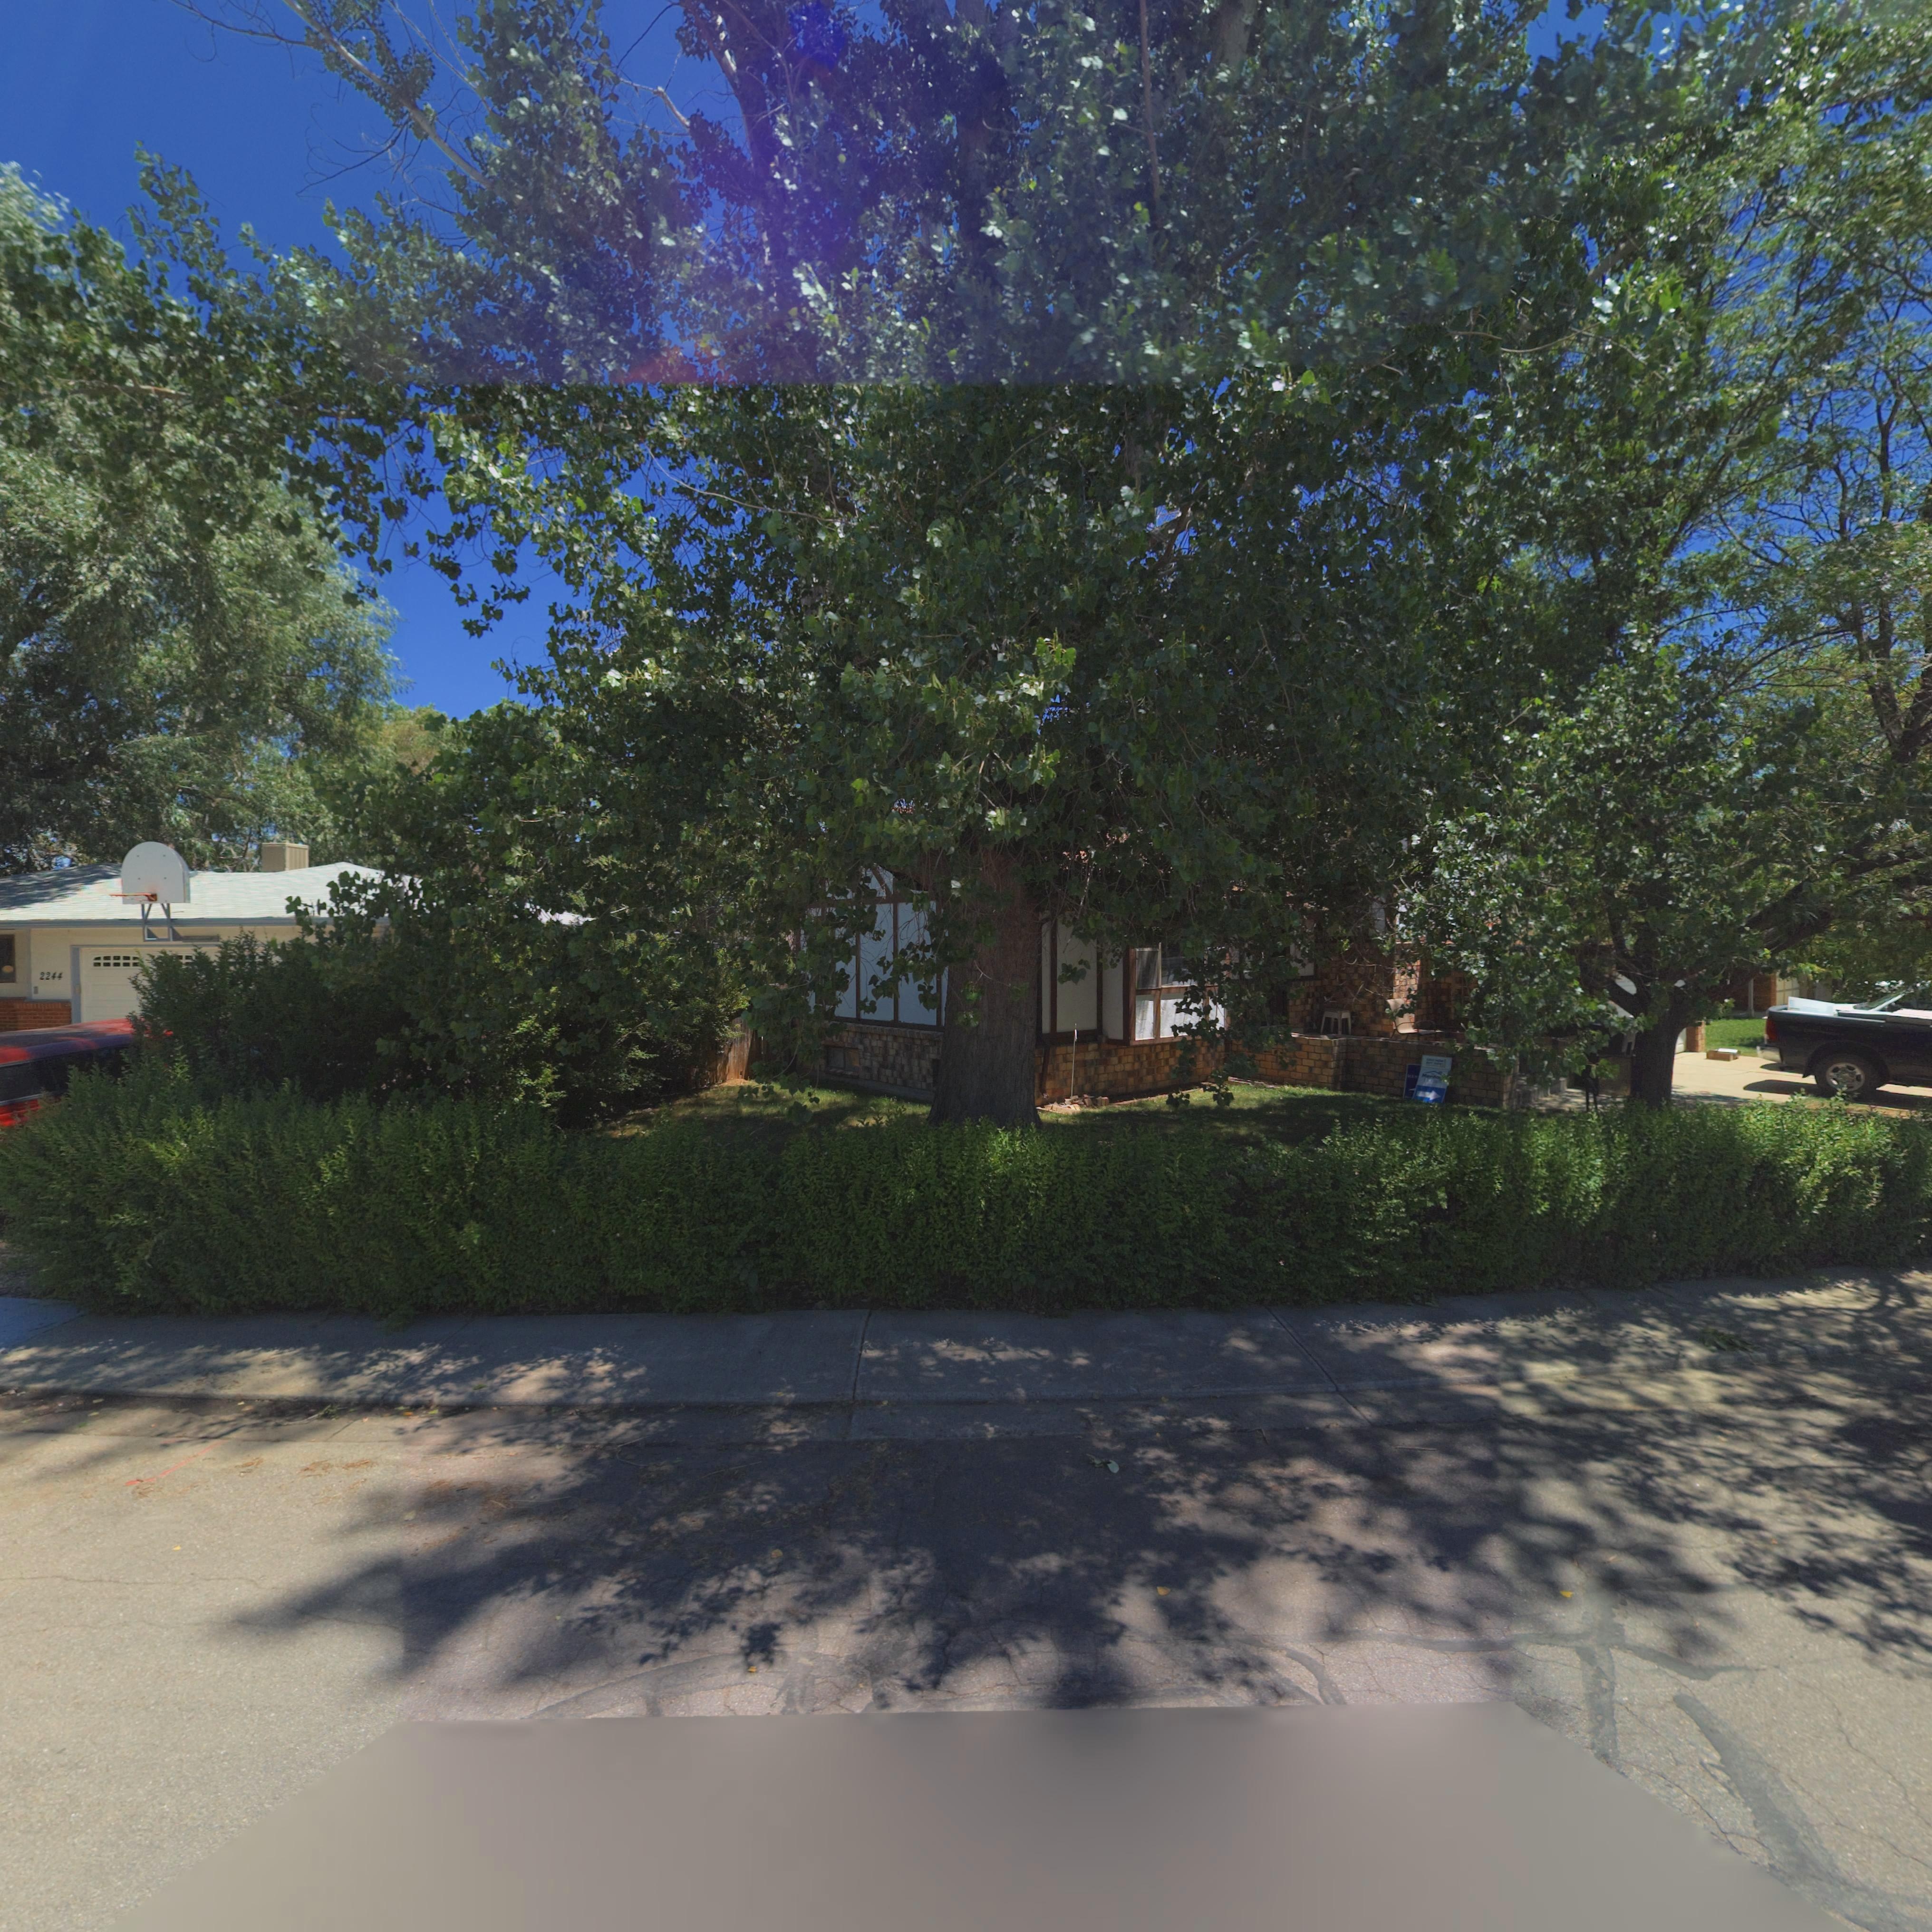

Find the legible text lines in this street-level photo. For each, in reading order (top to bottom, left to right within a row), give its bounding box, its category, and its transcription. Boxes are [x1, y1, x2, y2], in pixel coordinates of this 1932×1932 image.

[39, 971, 62, 980] StreetNumber: 2244